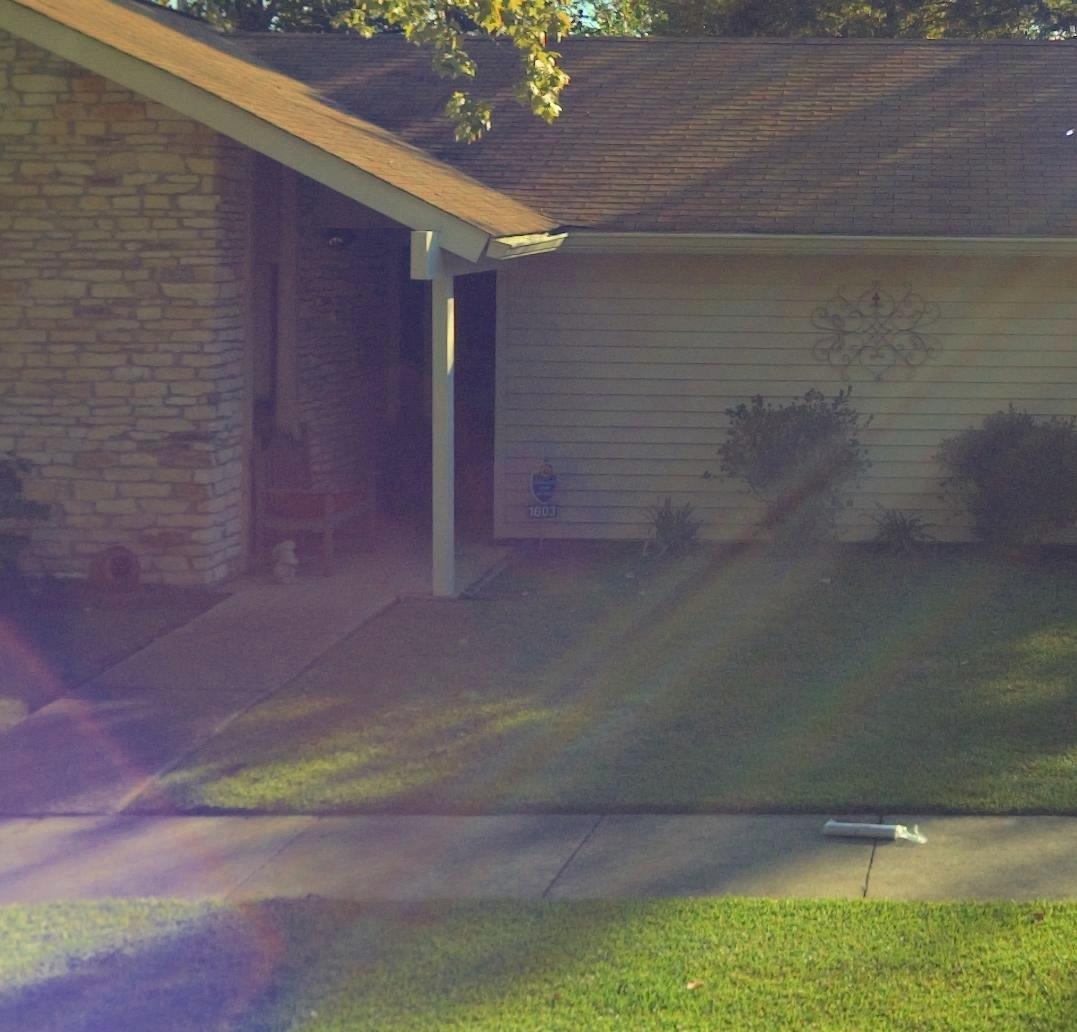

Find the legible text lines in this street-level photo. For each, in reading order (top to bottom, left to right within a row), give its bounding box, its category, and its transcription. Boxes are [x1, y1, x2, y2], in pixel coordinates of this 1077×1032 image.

[526, 504, 558, 519] StreetNumber: 1603